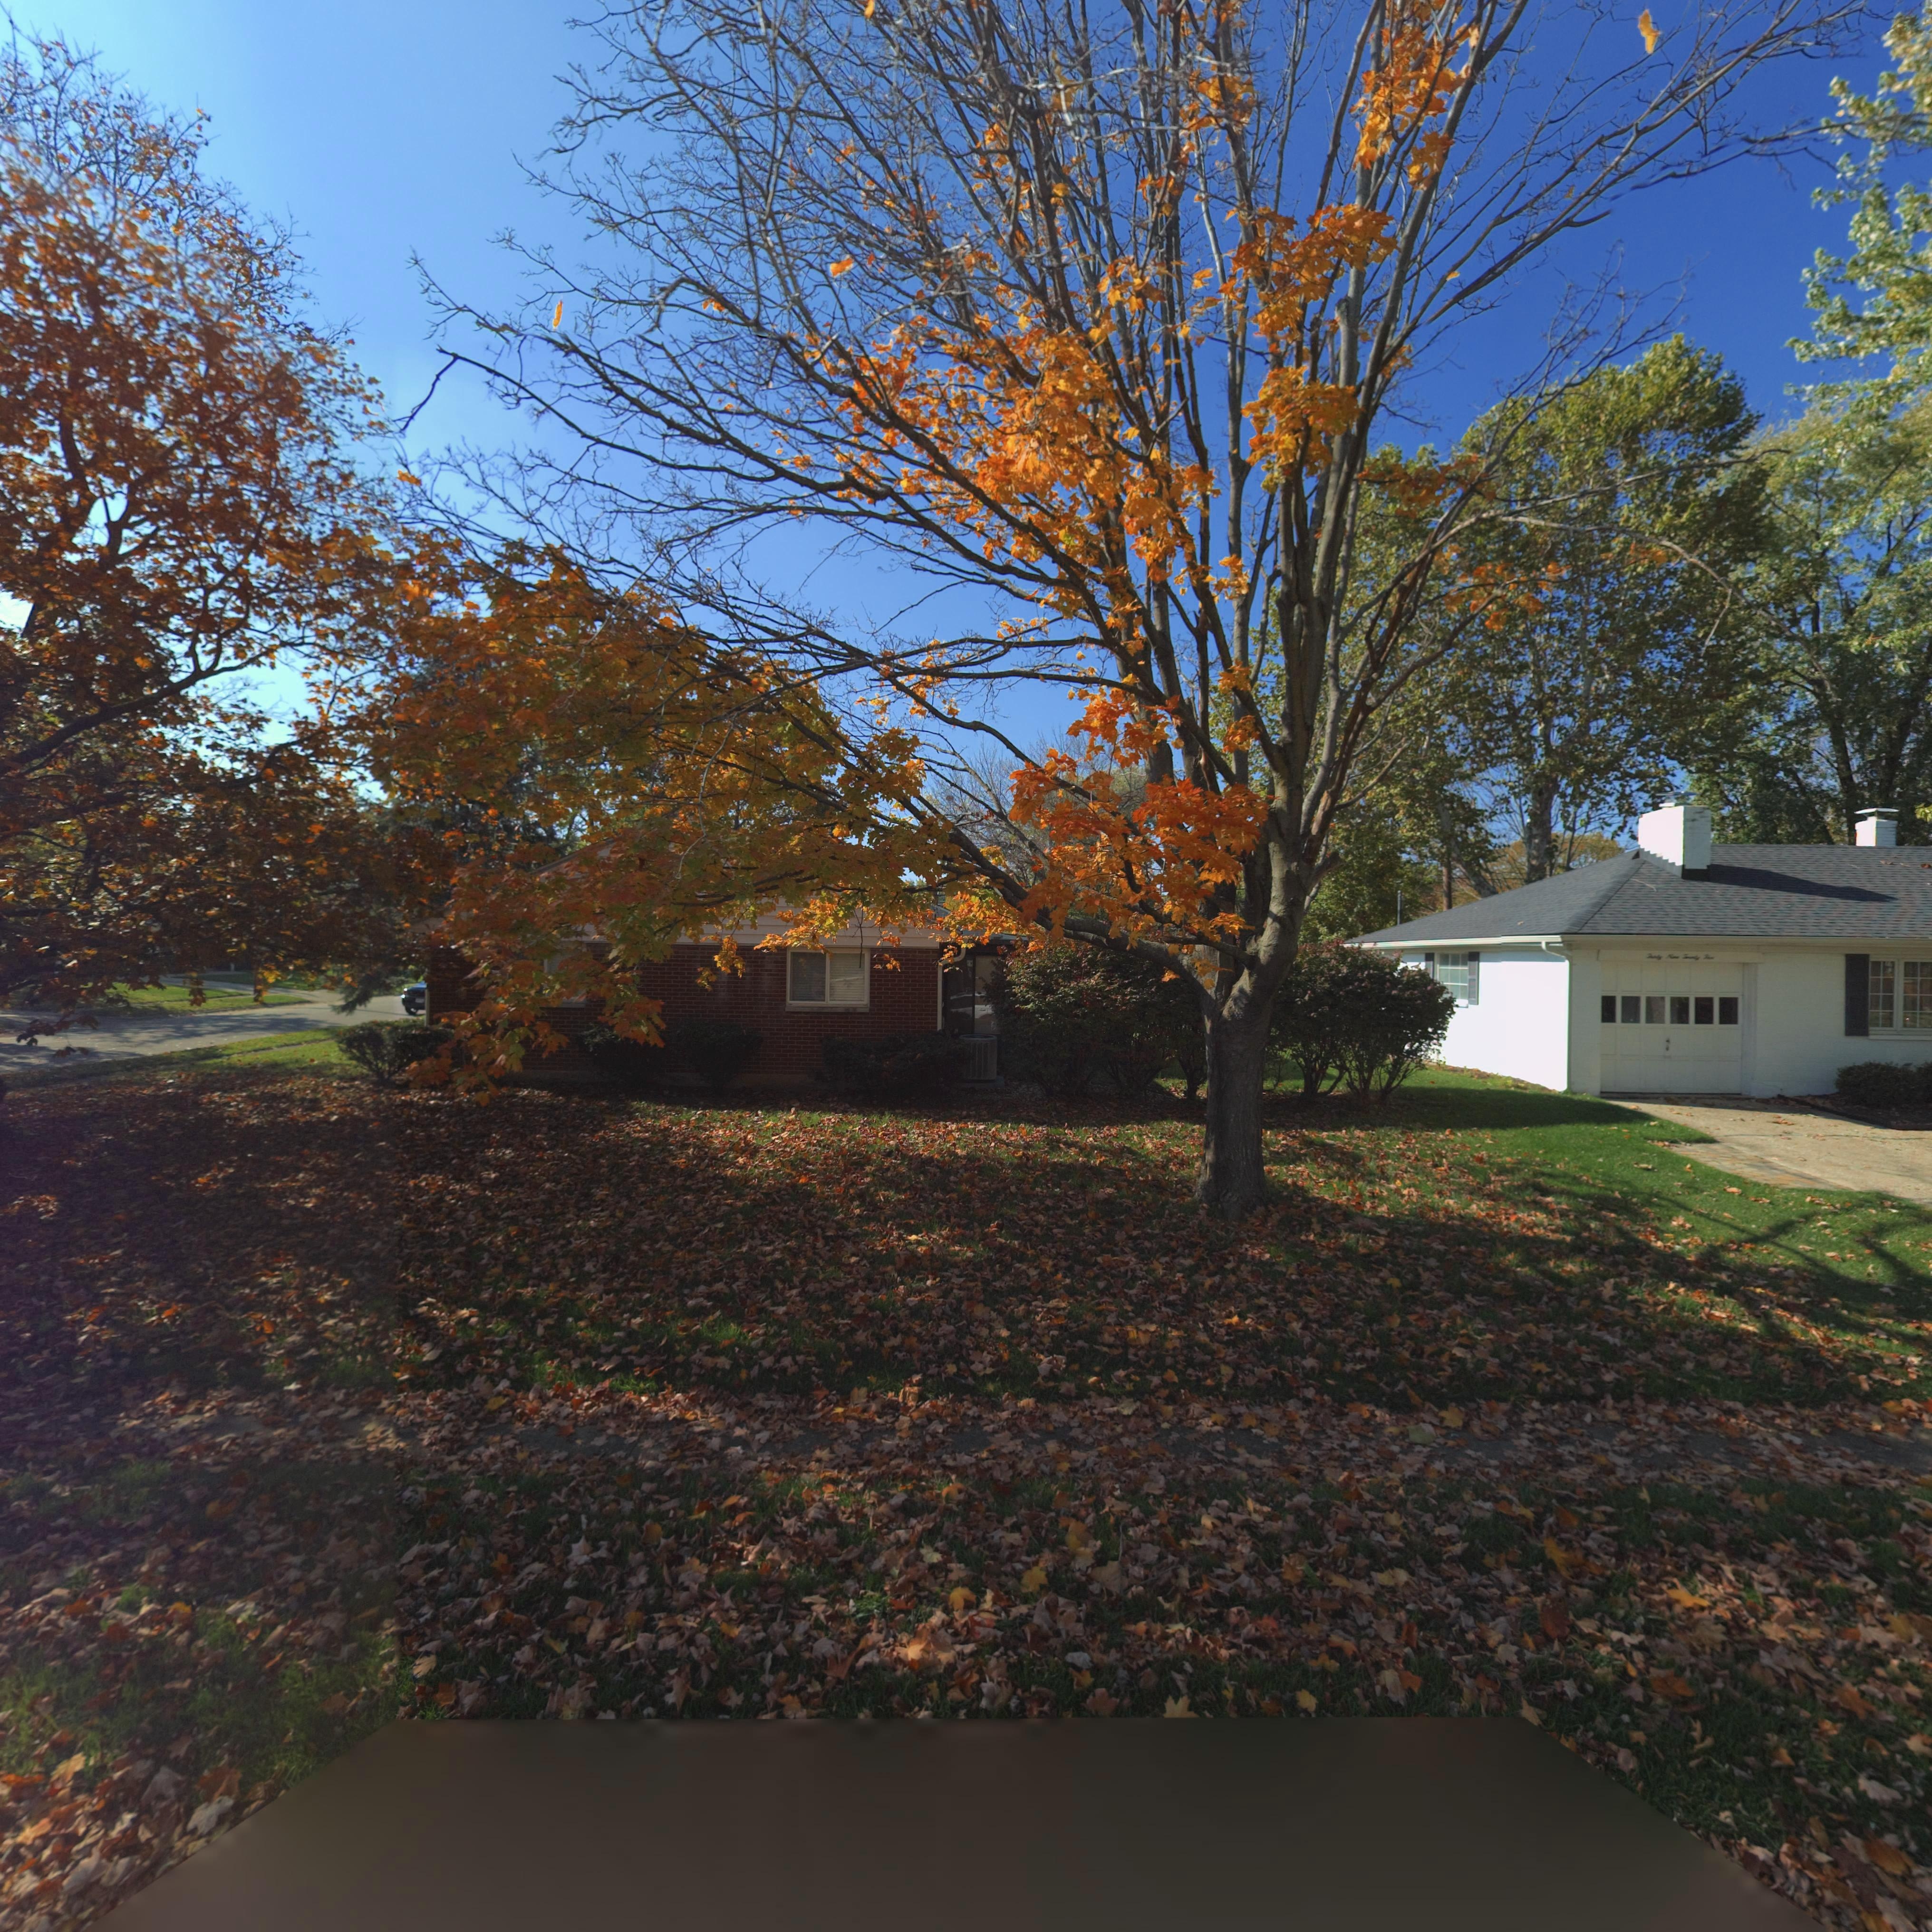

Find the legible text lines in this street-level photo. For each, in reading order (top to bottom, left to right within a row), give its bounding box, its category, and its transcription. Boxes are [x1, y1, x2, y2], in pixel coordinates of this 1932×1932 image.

[1664, 953, 1680, 959] None: Nine
[1680, 953, 1702, 960] None: Twenty
[1702, 953, 1715, 960] None: Five